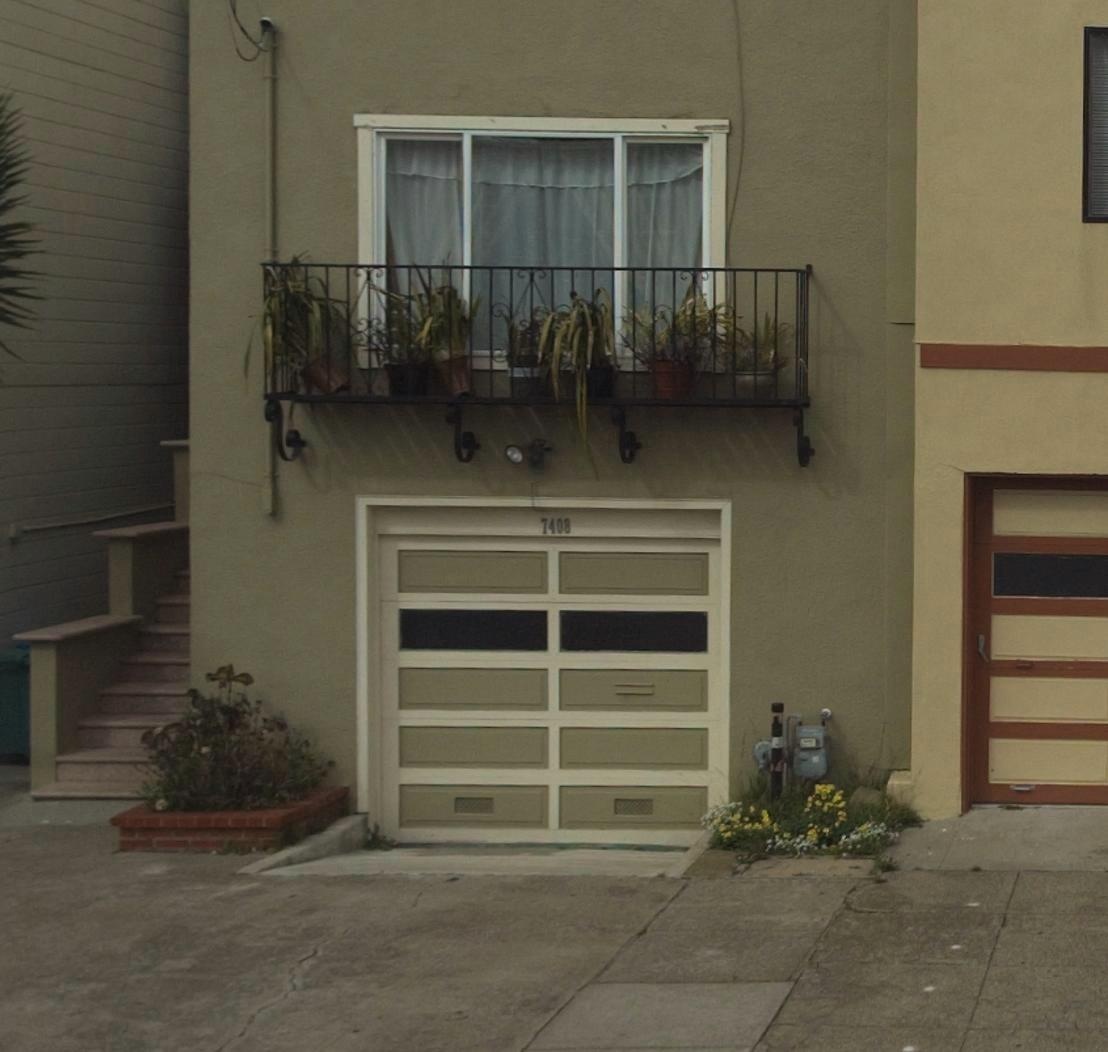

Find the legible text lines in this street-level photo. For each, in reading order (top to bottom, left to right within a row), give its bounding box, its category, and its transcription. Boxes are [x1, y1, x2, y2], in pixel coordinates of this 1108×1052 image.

[540, 516, 571, 535] StreetNumber: 7408